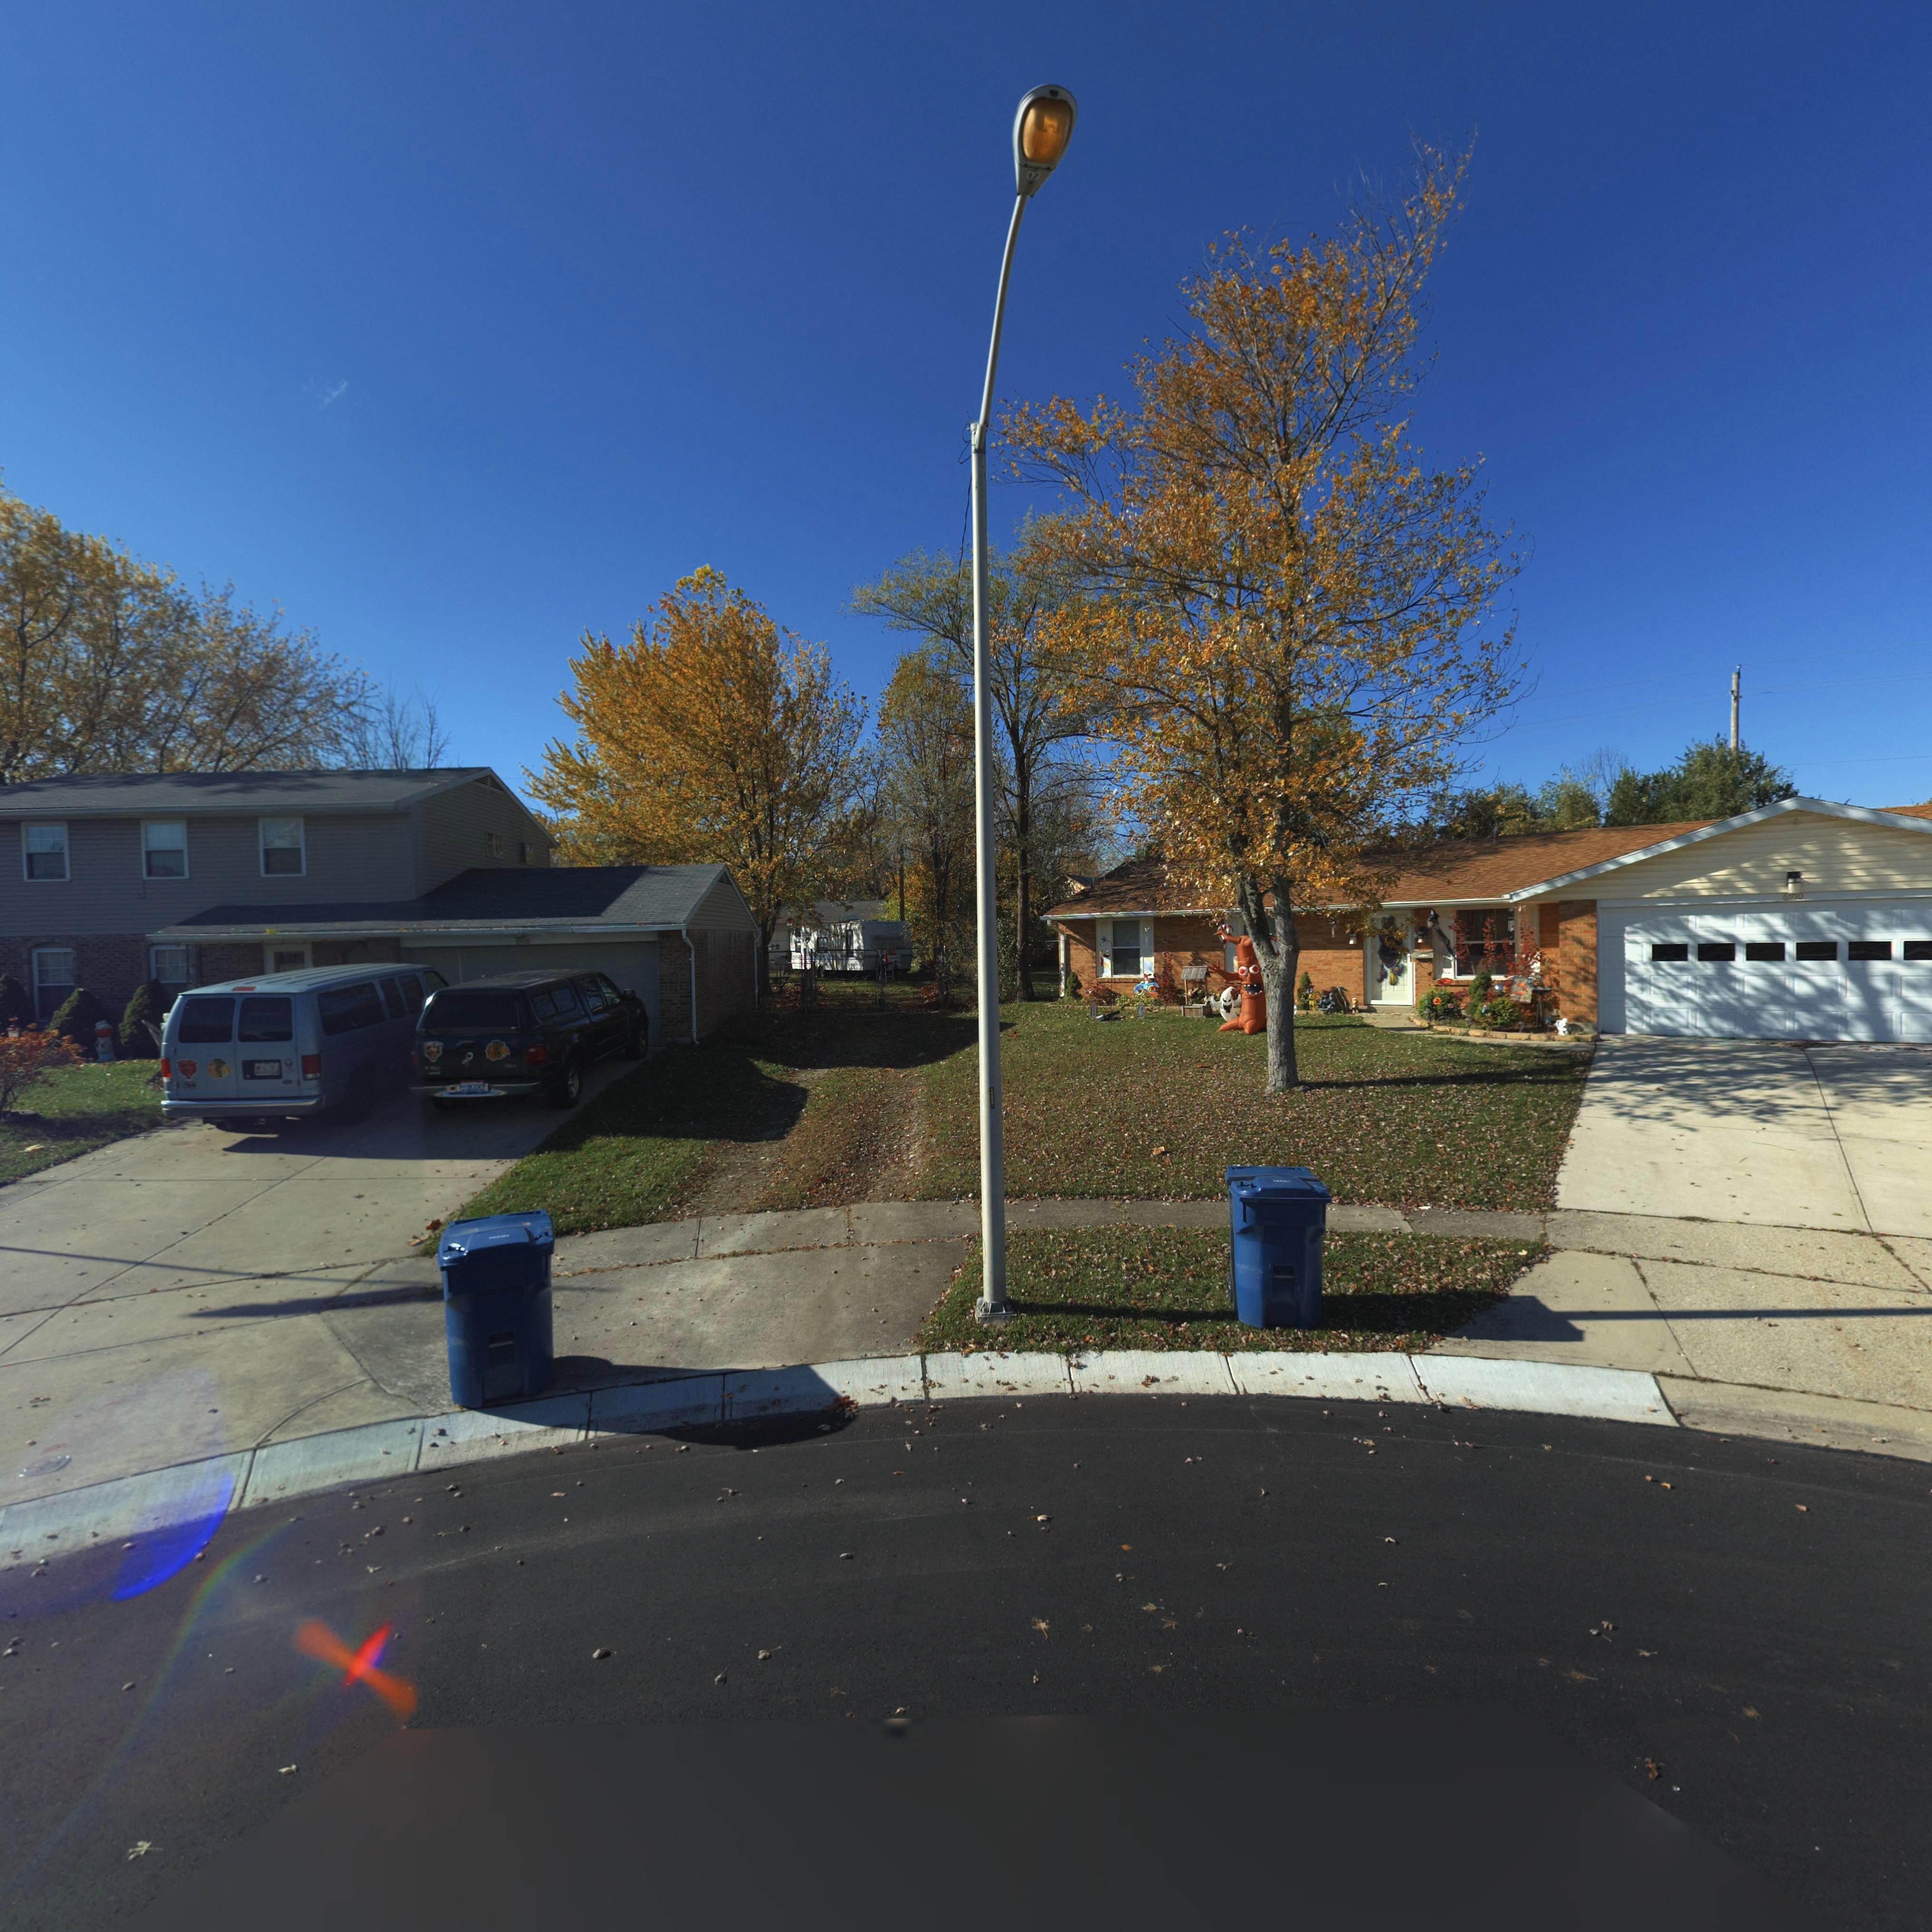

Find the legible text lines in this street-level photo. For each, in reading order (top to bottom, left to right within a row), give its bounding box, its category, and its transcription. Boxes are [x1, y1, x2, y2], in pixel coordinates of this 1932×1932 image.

[1782, 892, 1804, 901] StreetNumber: 6910
[514, 937, 531, 945] StreetNumber: 6920